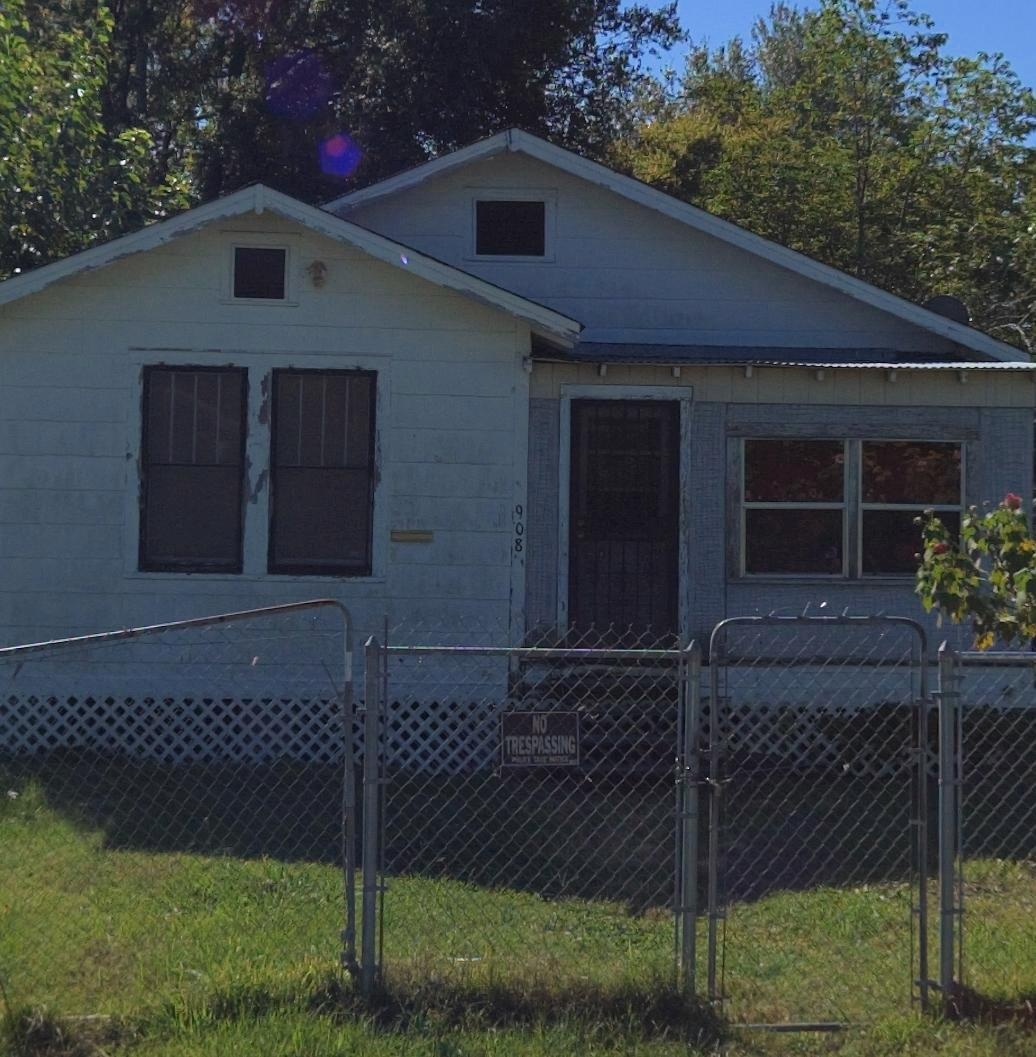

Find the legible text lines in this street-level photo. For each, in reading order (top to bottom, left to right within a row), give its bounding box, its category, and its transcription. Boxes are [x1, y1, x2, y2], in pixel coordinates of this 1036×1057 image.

[513, 503, 526, 555] StreetNumber: 908
[530, 712, 549, 736] None: NO
[502, 734, 578, 756] None: TRESPASSING